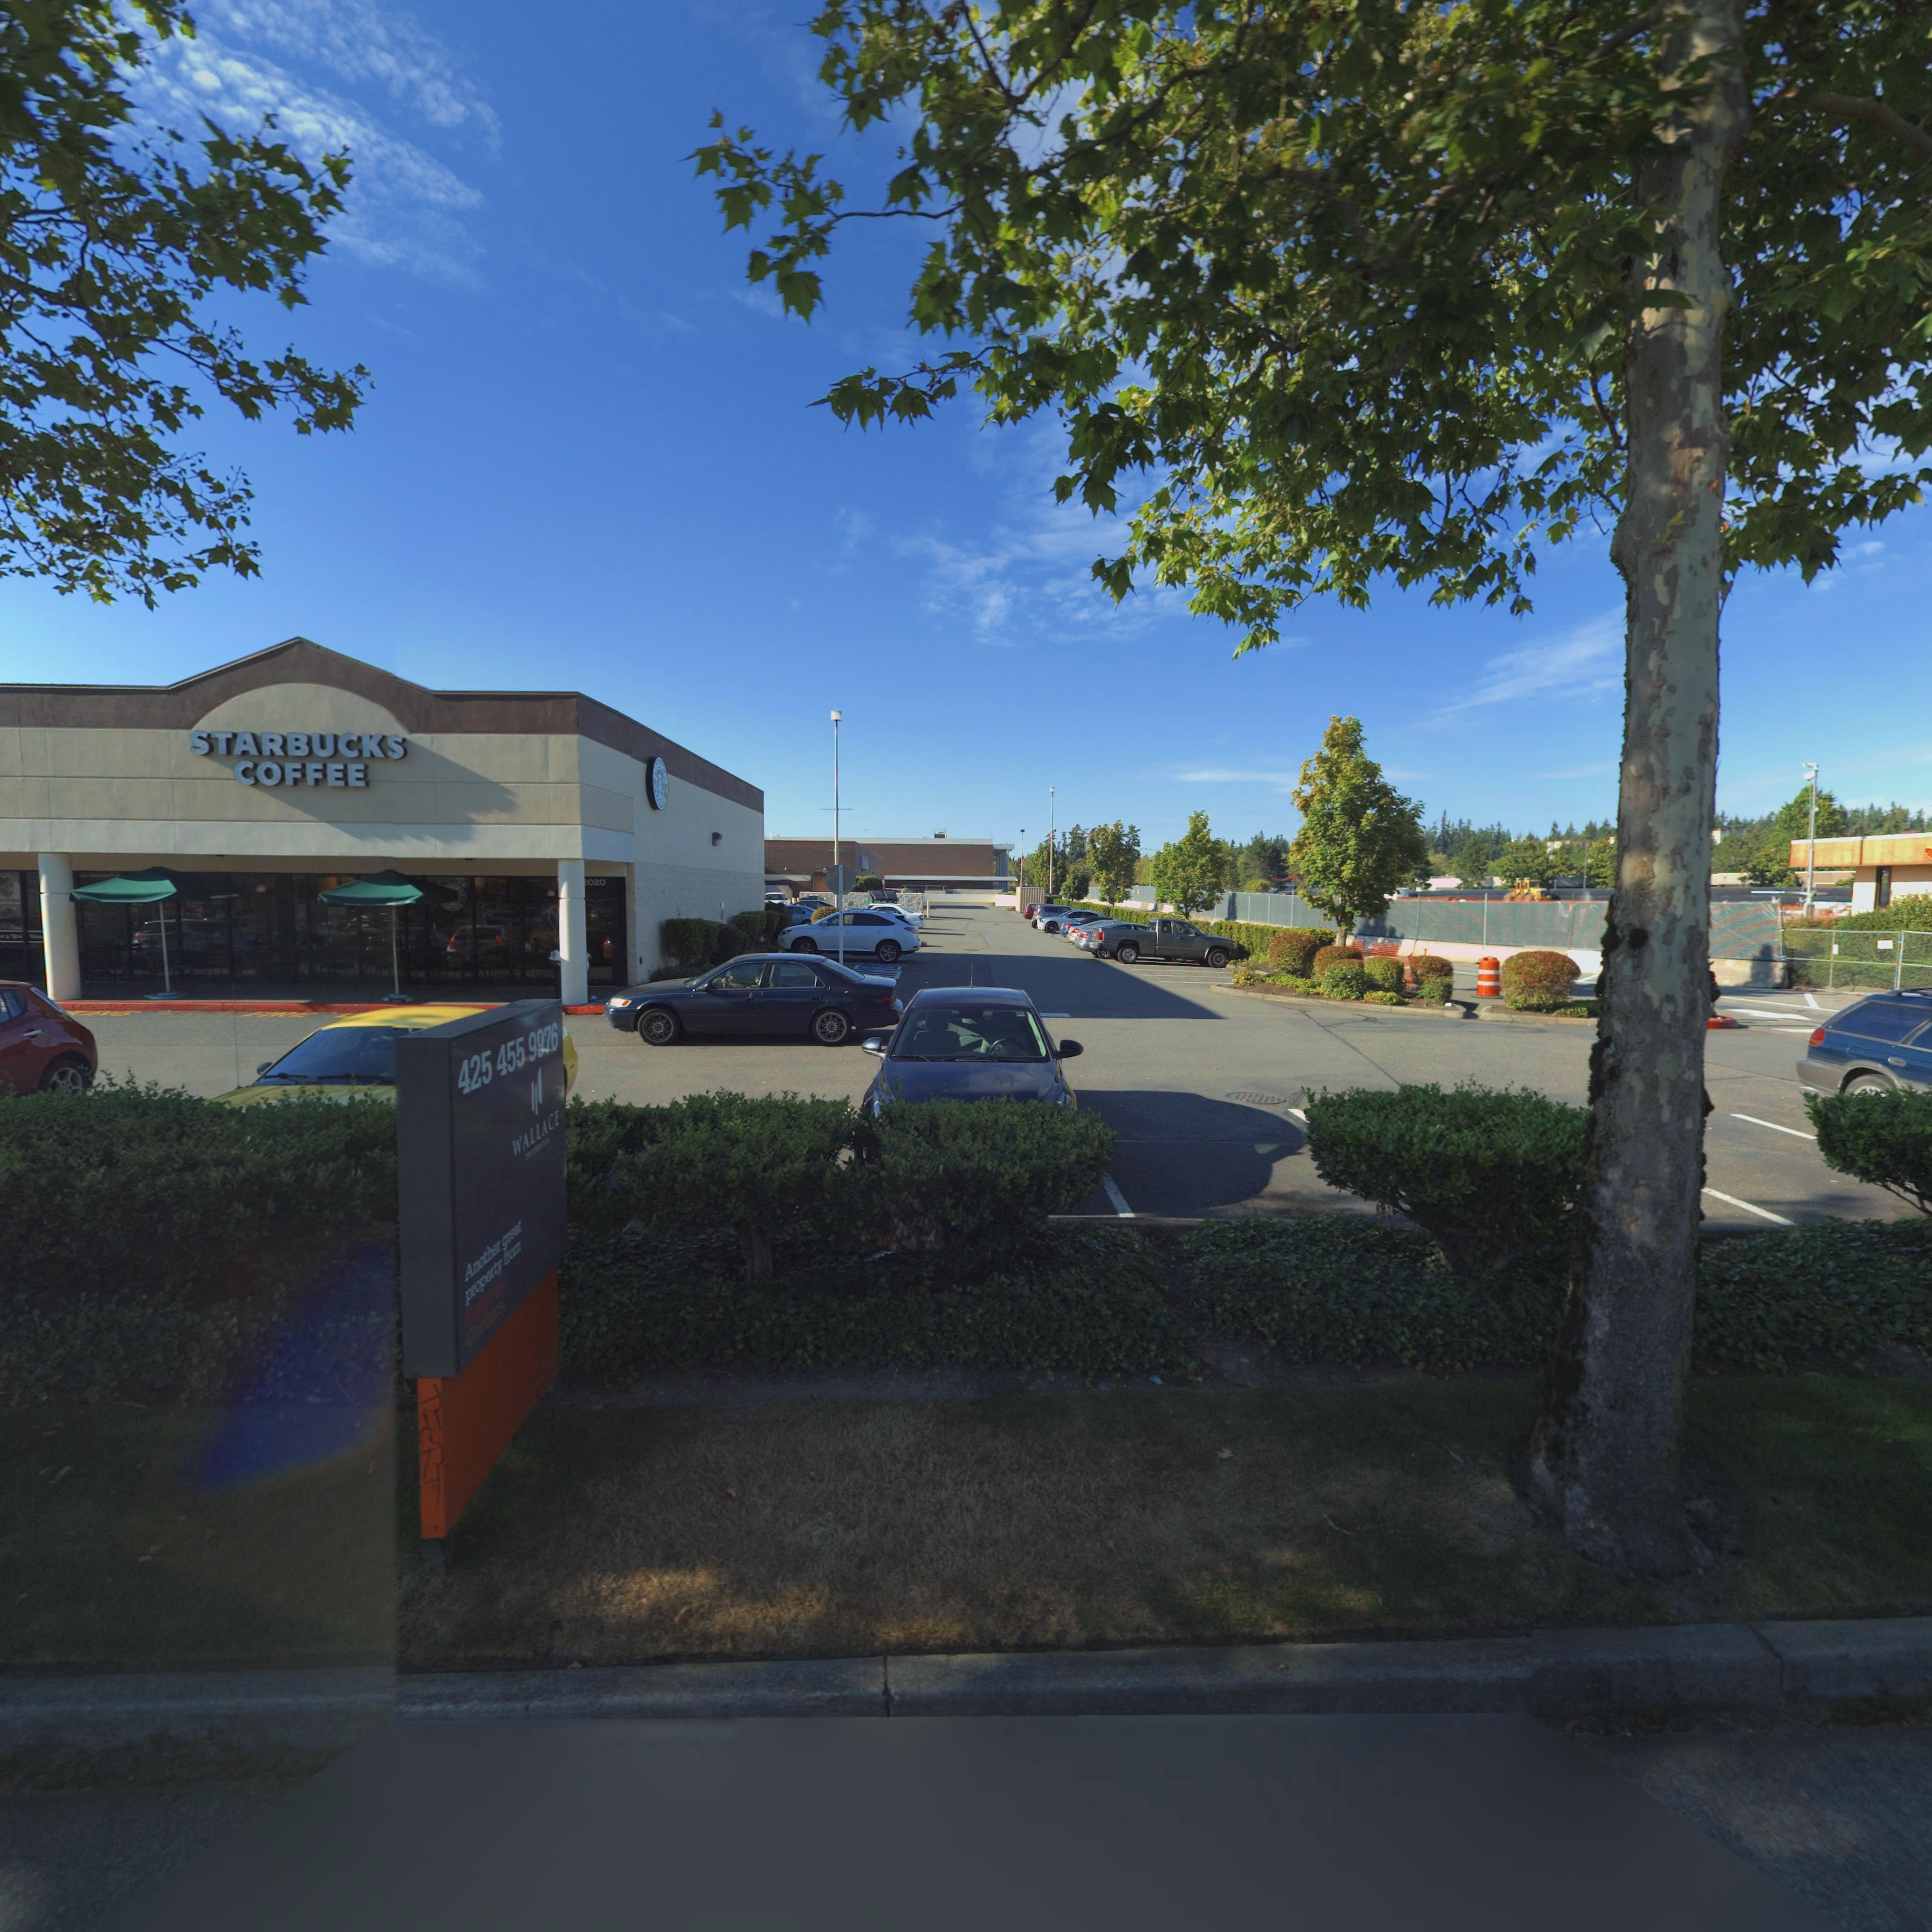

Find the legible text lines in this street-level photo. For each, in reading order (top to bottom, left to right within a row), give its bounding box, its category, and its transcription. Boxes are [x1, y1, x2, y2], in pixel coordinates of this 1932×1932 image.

[186, 730, 409, 760] BusinessName: STARBUCKS
[233, 761, 370, 789] BusinessName: COFFEE
[584, 878, 606, 886] StreetNumber: *020